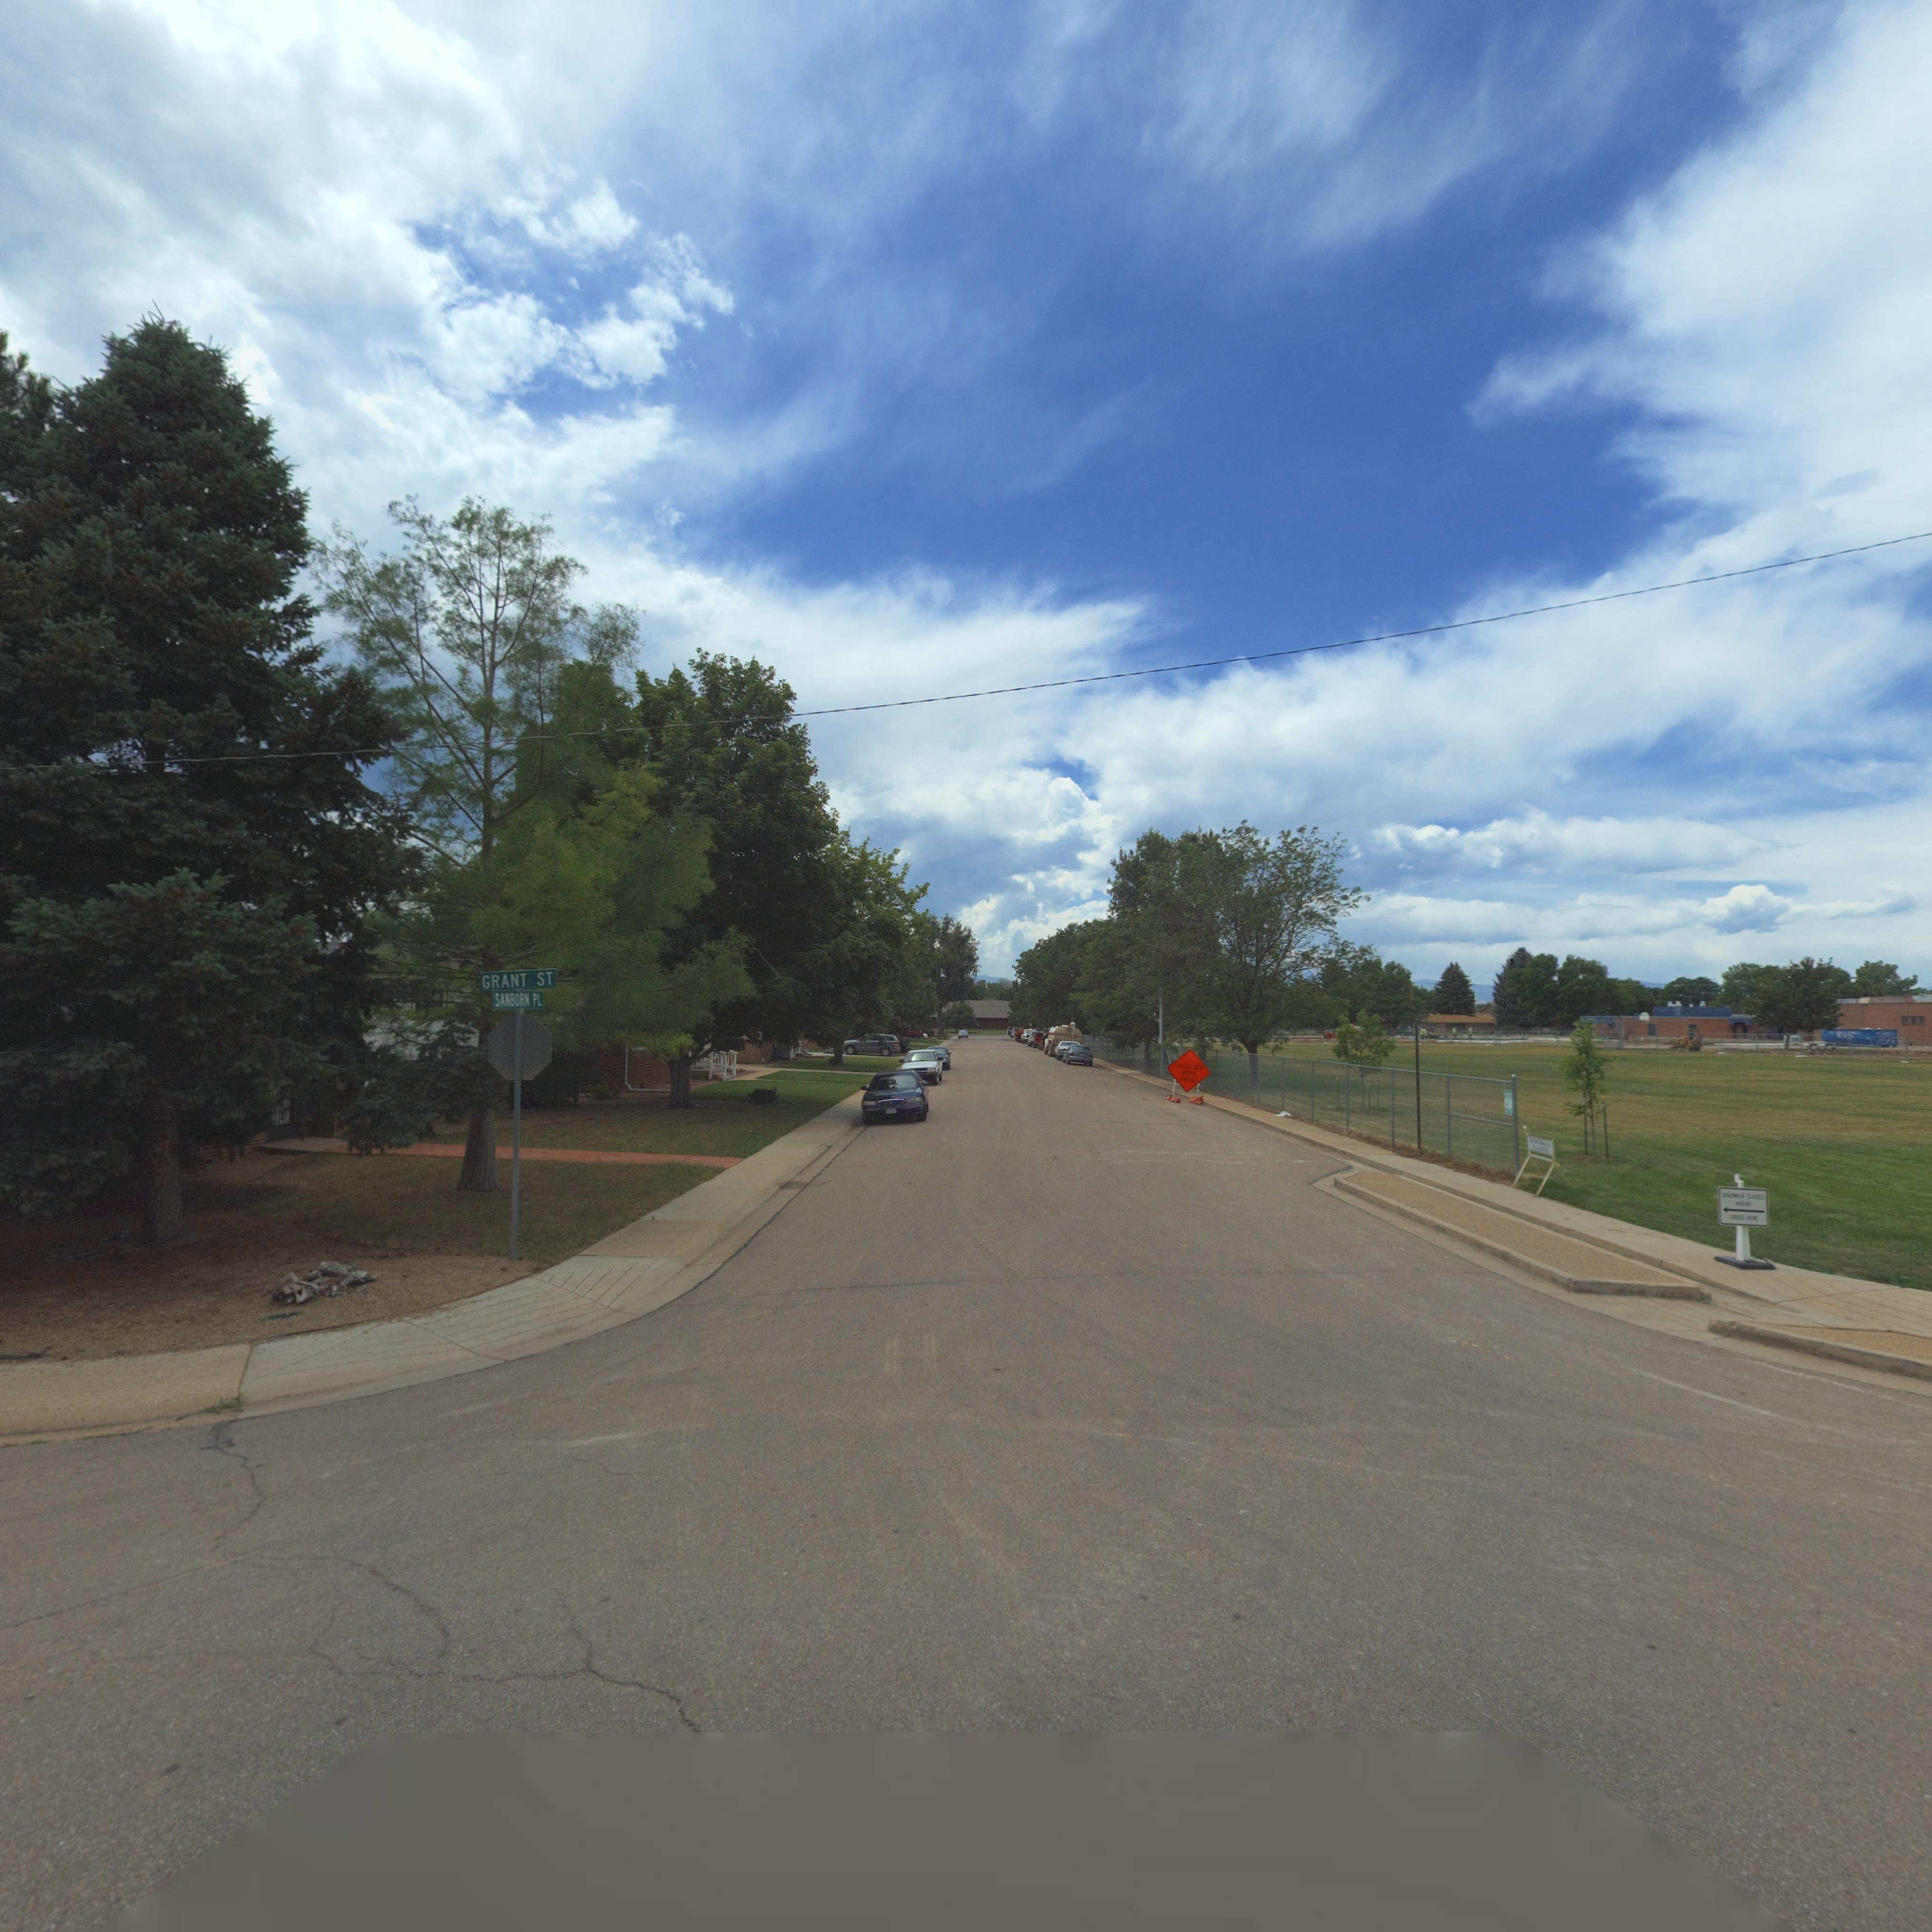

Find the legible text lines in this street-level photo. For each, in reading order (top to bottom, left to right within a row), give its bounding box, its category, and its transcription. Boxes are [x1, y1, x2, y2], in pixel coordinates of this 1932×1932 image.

[482, 971, 553, 989] StreetName: GRANT ST
[494, 993, 542, 1007] StreetName: SANBORN PL